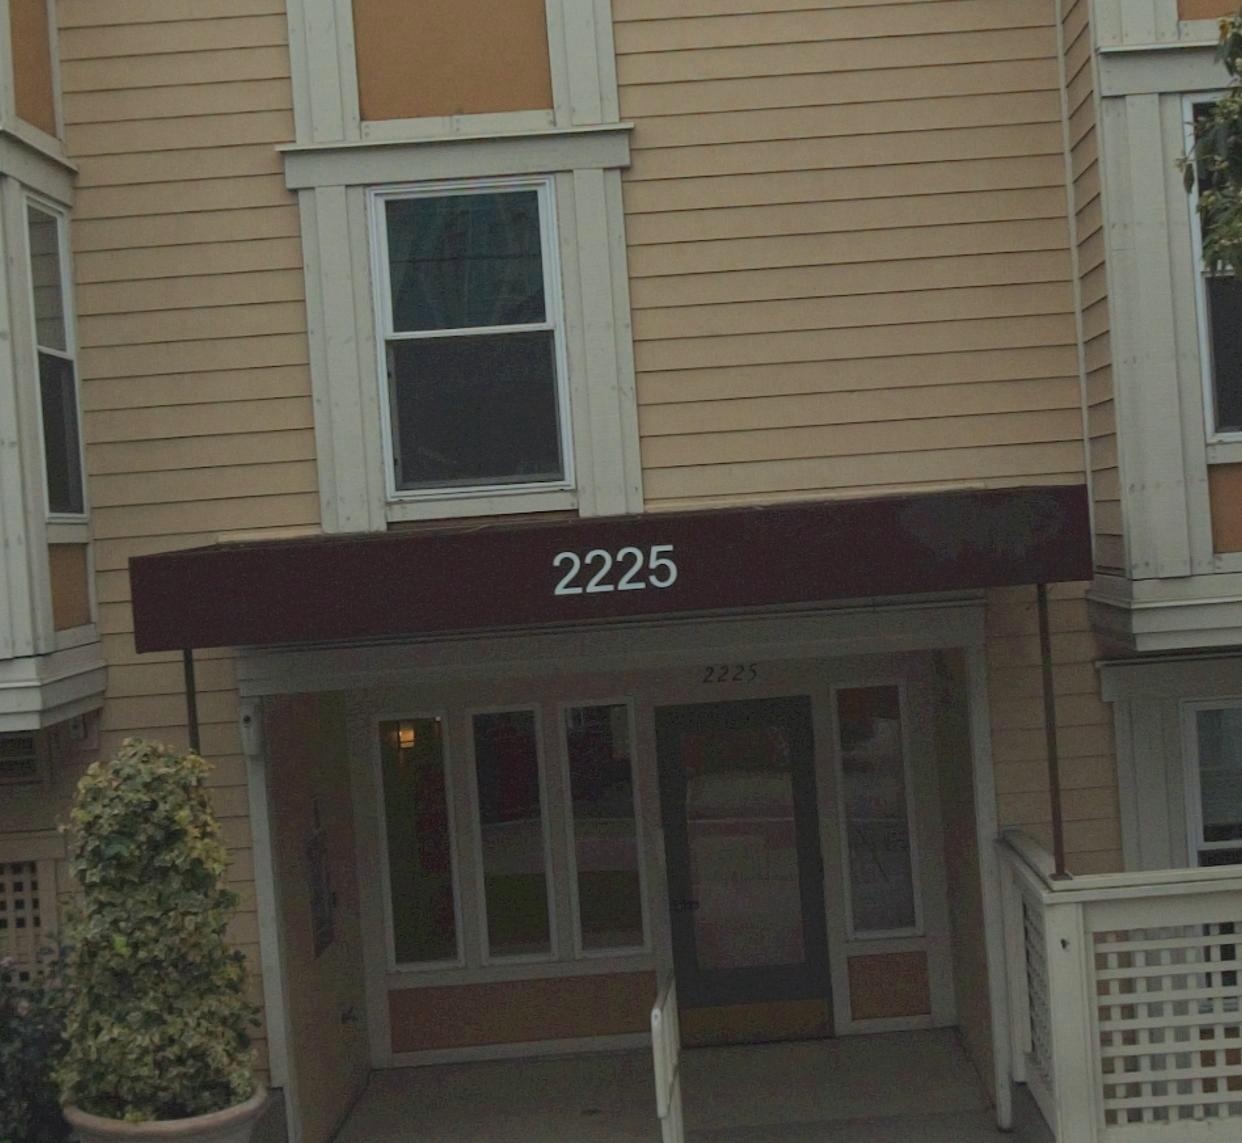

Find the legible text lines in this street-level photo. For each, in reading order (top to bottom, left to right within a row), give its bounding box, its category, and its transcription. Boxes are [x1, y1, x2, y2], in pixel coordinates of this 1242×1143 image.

[549, 541, 681, 598] StreetNumber: 2225
[699, 662, 761, 684] StreetNumber: 2225